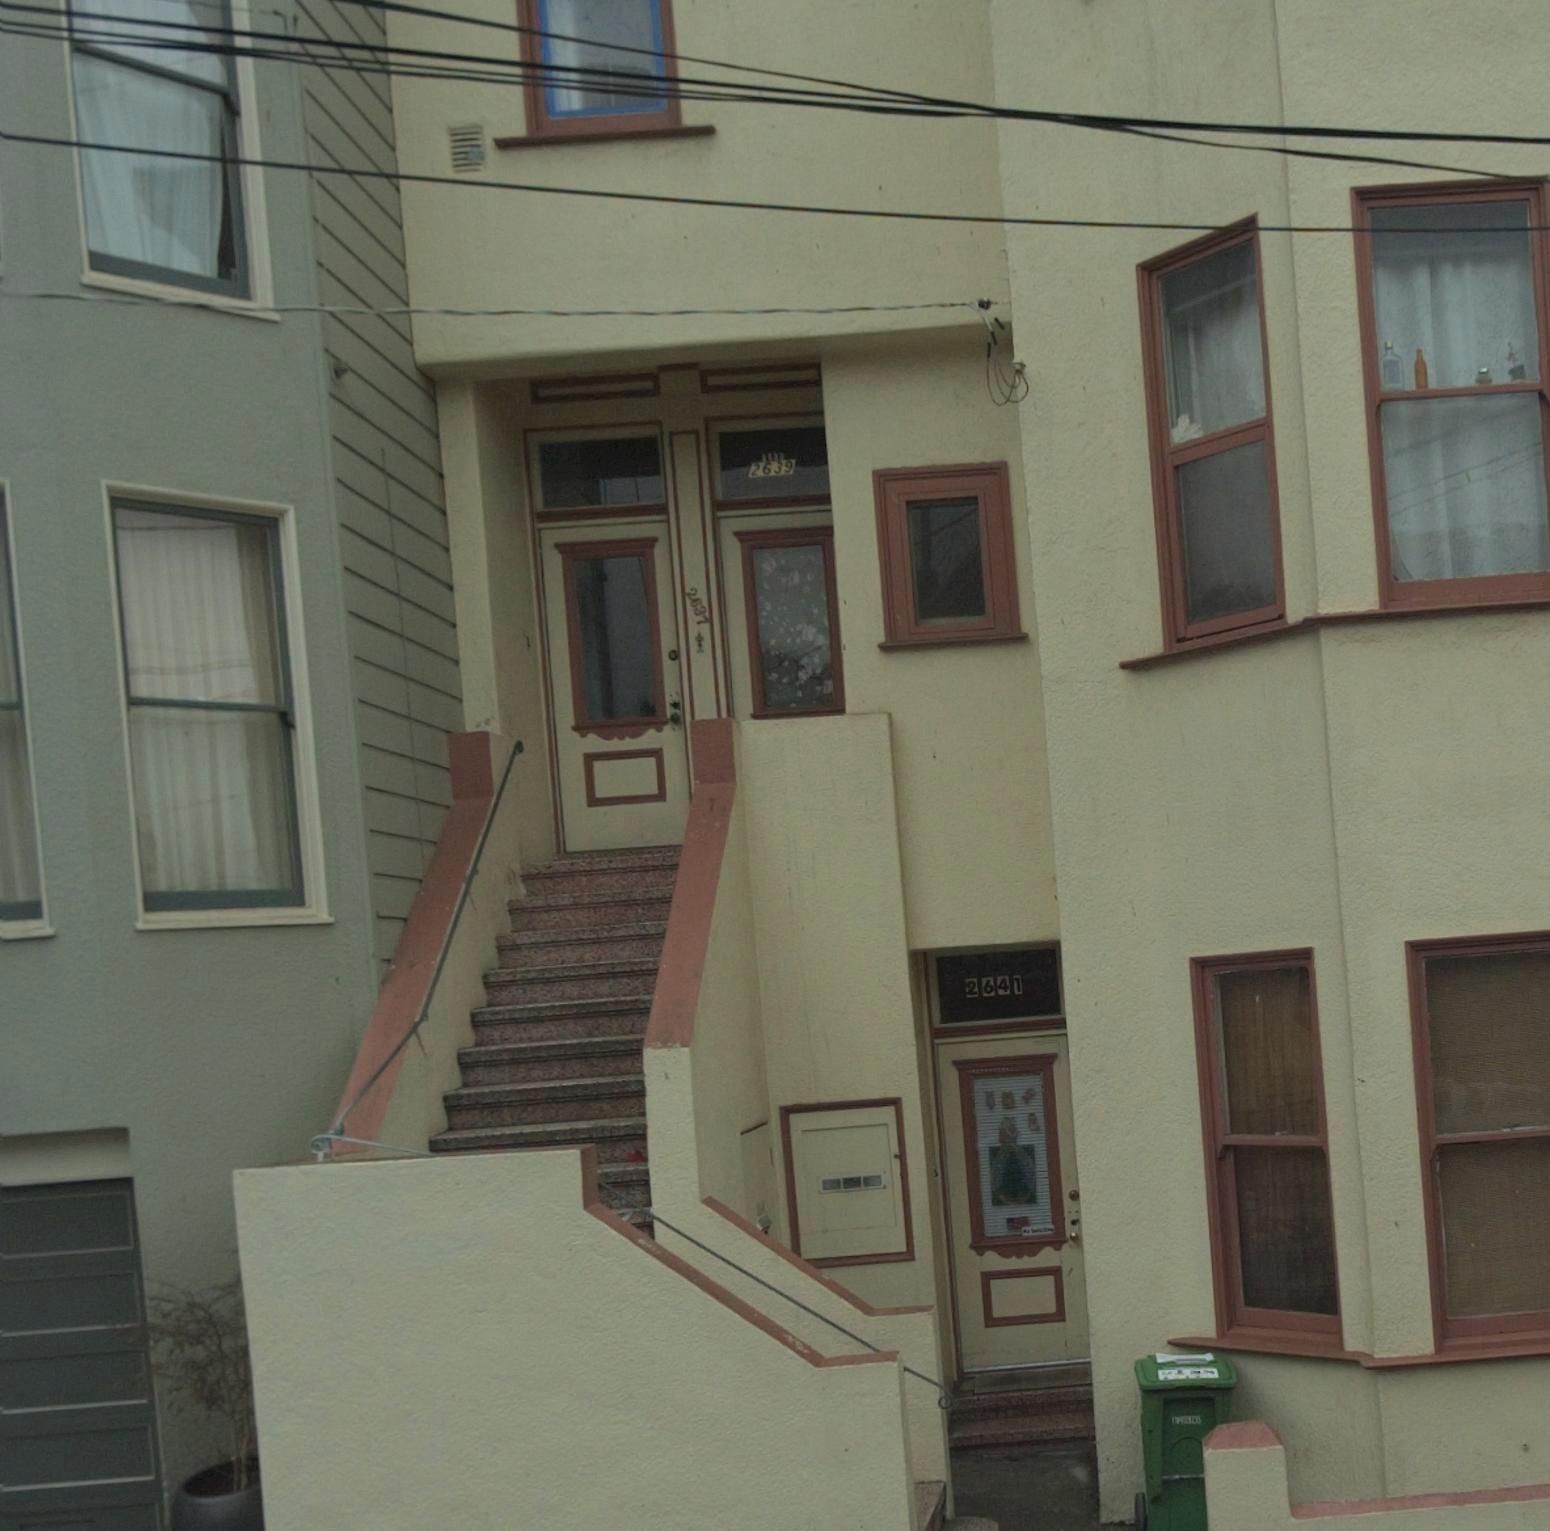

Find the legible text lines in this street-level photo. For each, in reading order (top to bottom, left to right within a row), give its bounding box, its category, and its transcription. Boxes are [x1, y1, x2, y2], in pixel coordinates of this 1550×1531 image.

[762, 451, 784, 461] None: 111
[749, 459, 796, 478] StreetNumber: 2639
[683, 583, 713, 627] StreetNumber: 2637
[964, 974, 1023, 998] StreetNumber: 2641